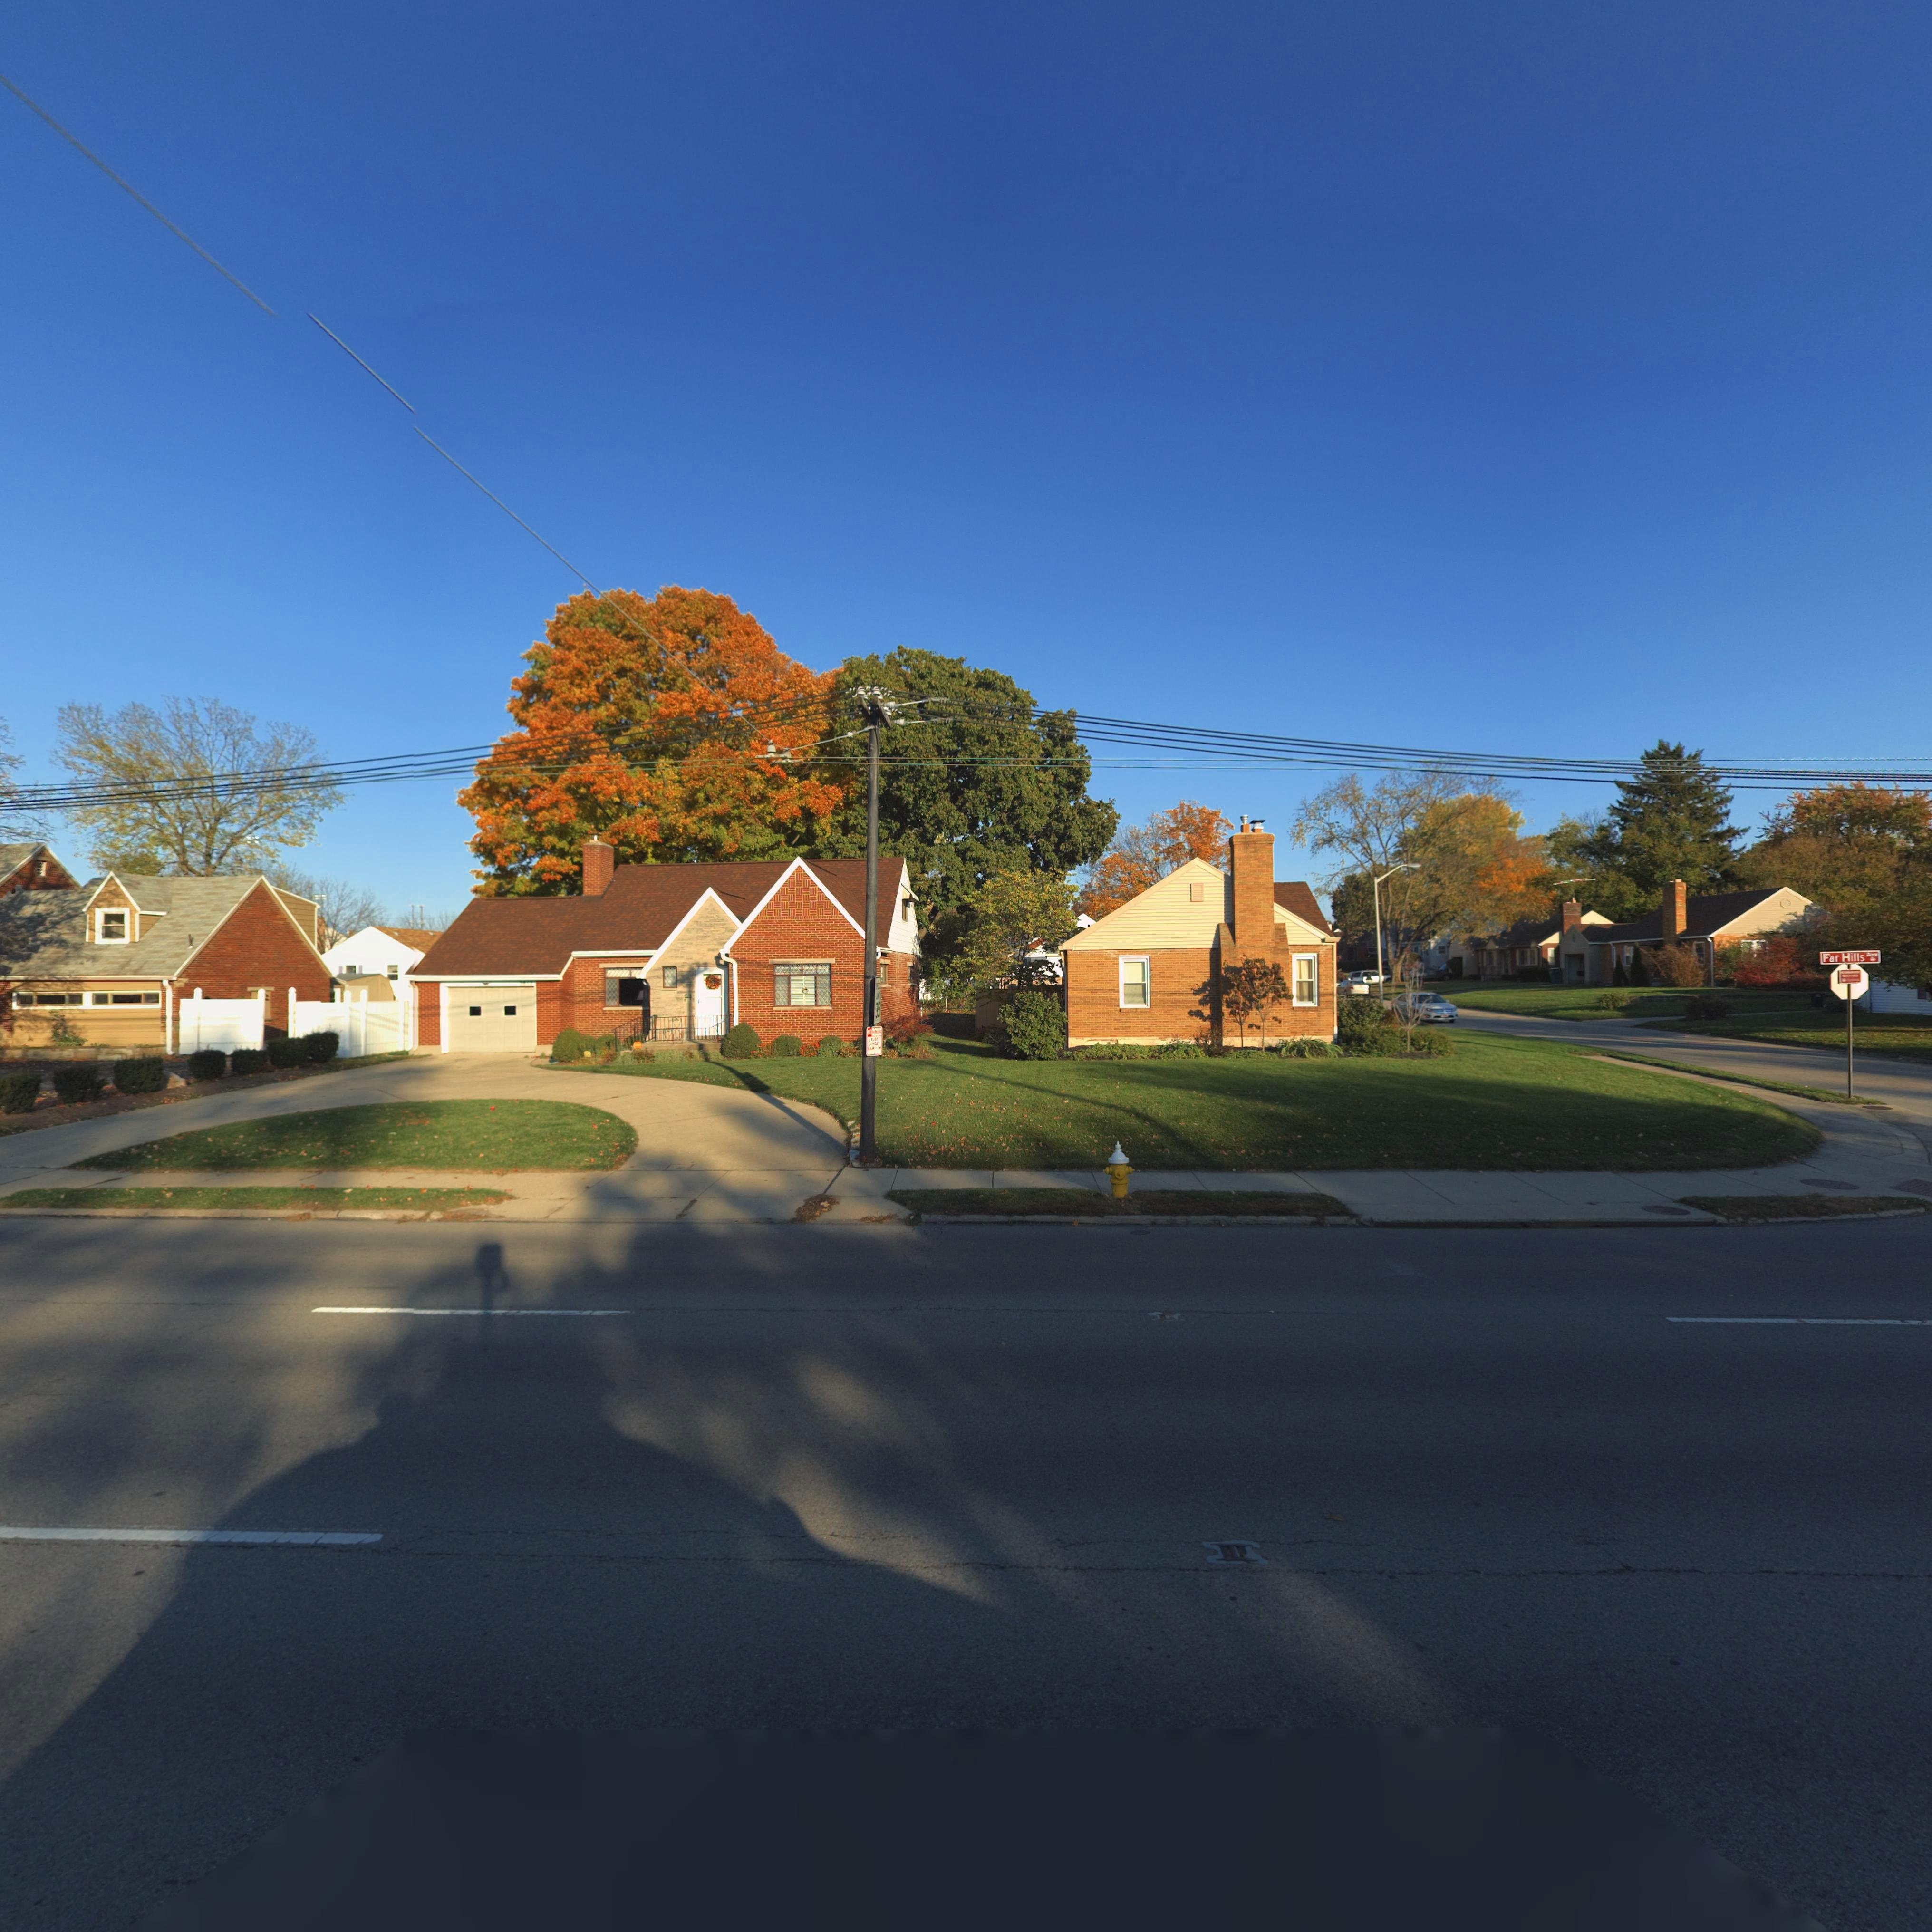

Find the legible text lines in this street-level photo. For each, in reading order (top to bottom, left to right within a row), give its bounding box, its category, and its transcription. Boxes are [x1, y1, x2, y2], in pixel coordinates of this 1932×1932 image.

[1822, 952, 1865, 963] StreetName: Far Hills